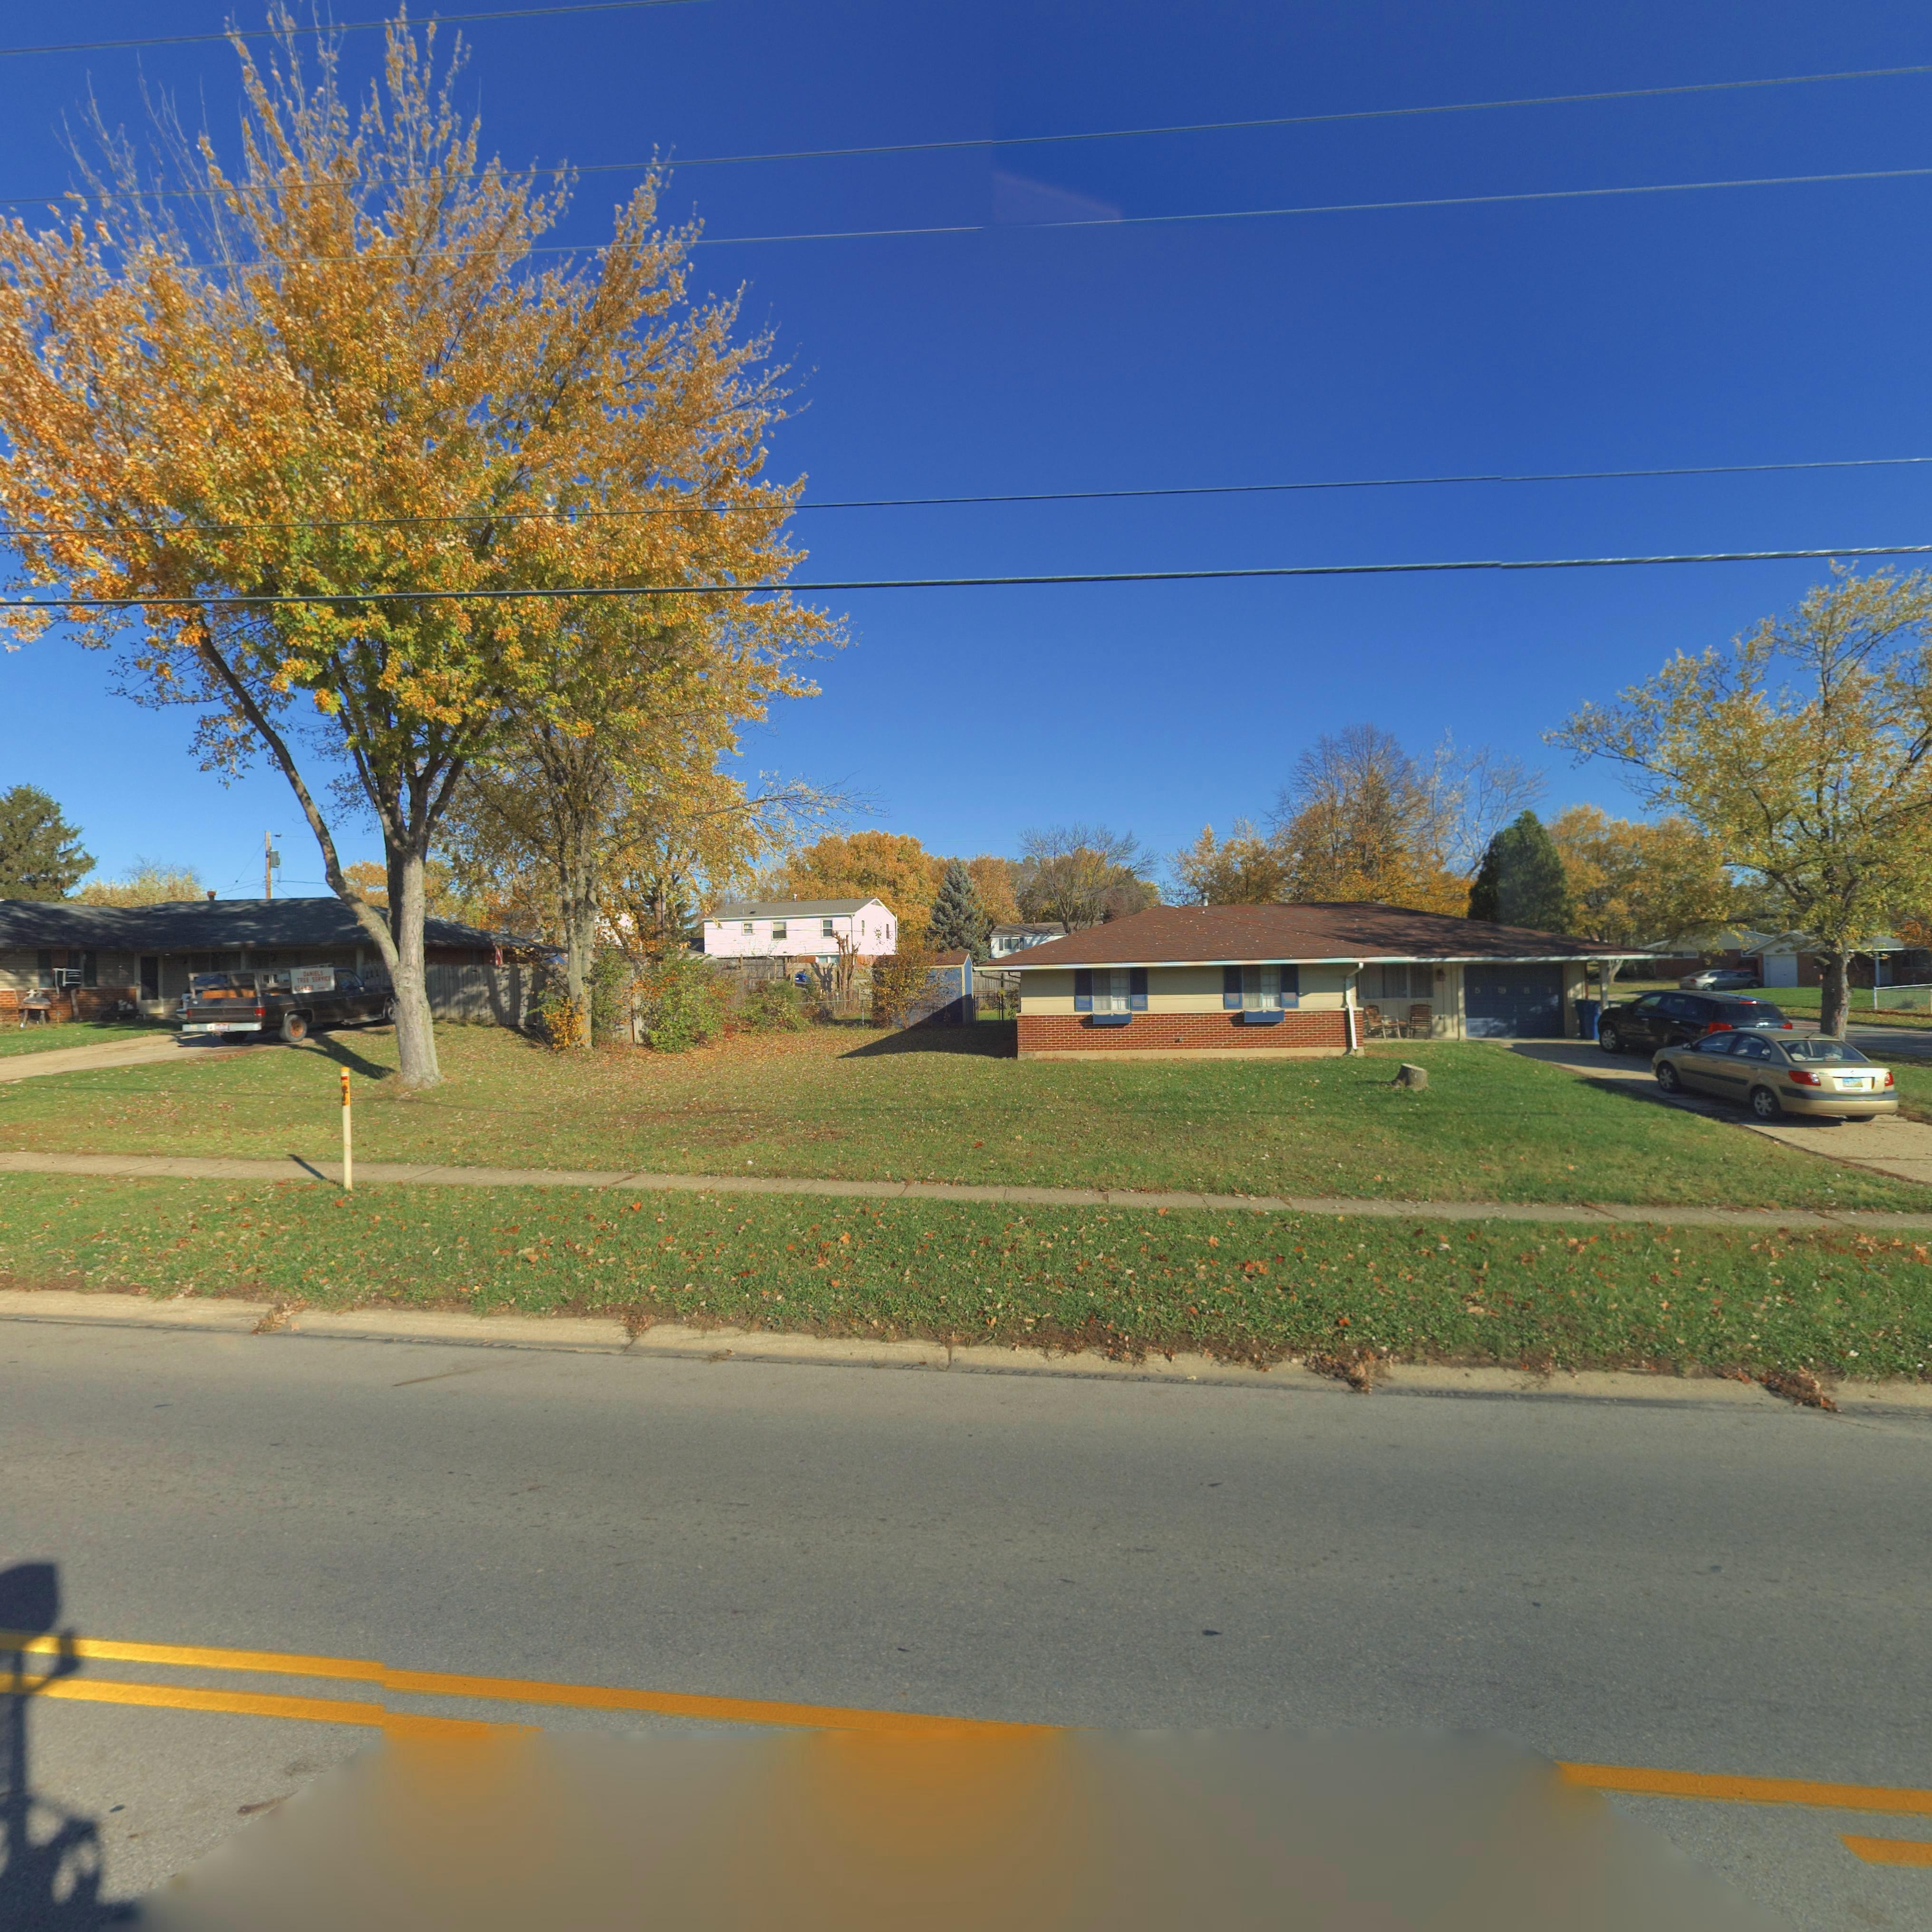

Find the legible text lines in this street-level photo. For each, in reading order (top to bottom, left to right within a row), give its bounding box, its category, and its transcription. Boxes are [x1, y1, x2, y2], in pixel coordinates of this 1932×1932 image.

[341, 959, 348, 965] StreetNumber: 7
[1474, 986, 1553, 995] StreetNumber: 5*81